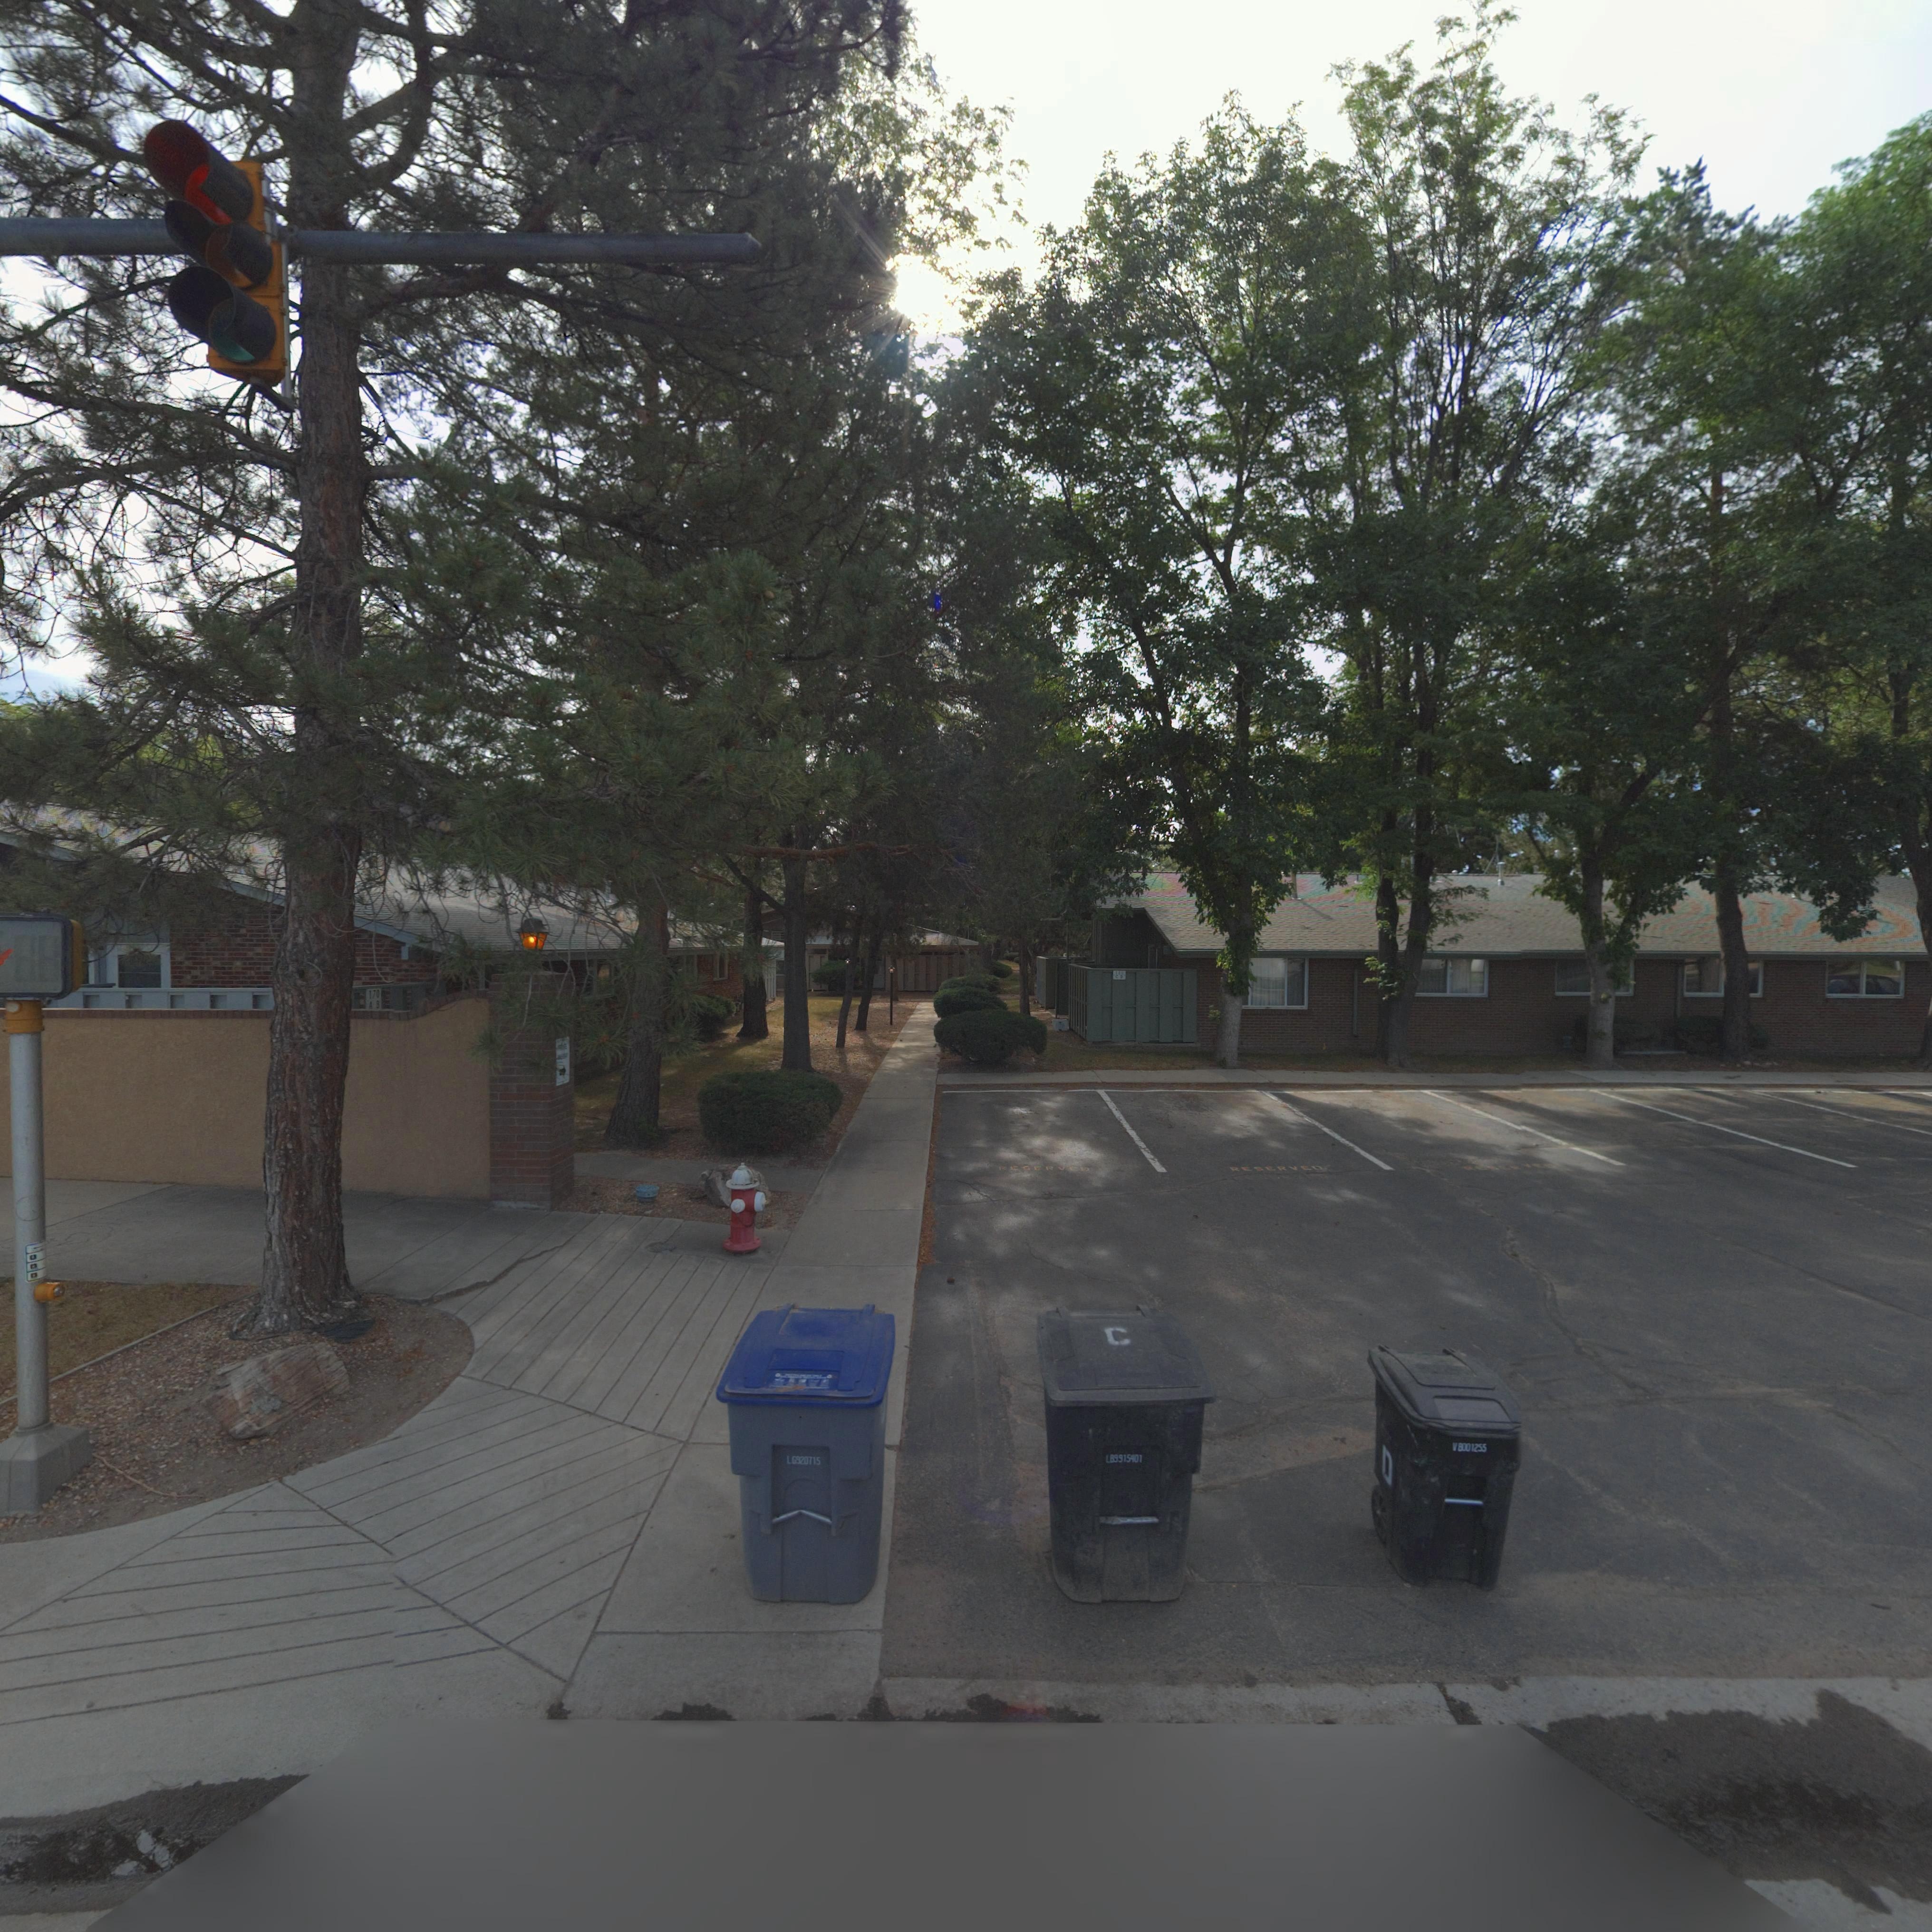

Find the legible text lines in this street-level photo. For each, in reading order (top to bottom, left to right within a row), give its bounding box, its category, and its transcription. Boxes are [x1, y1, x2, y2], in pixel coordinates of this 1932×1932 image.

[367, 989, 381, 999] StreetNumber: 170